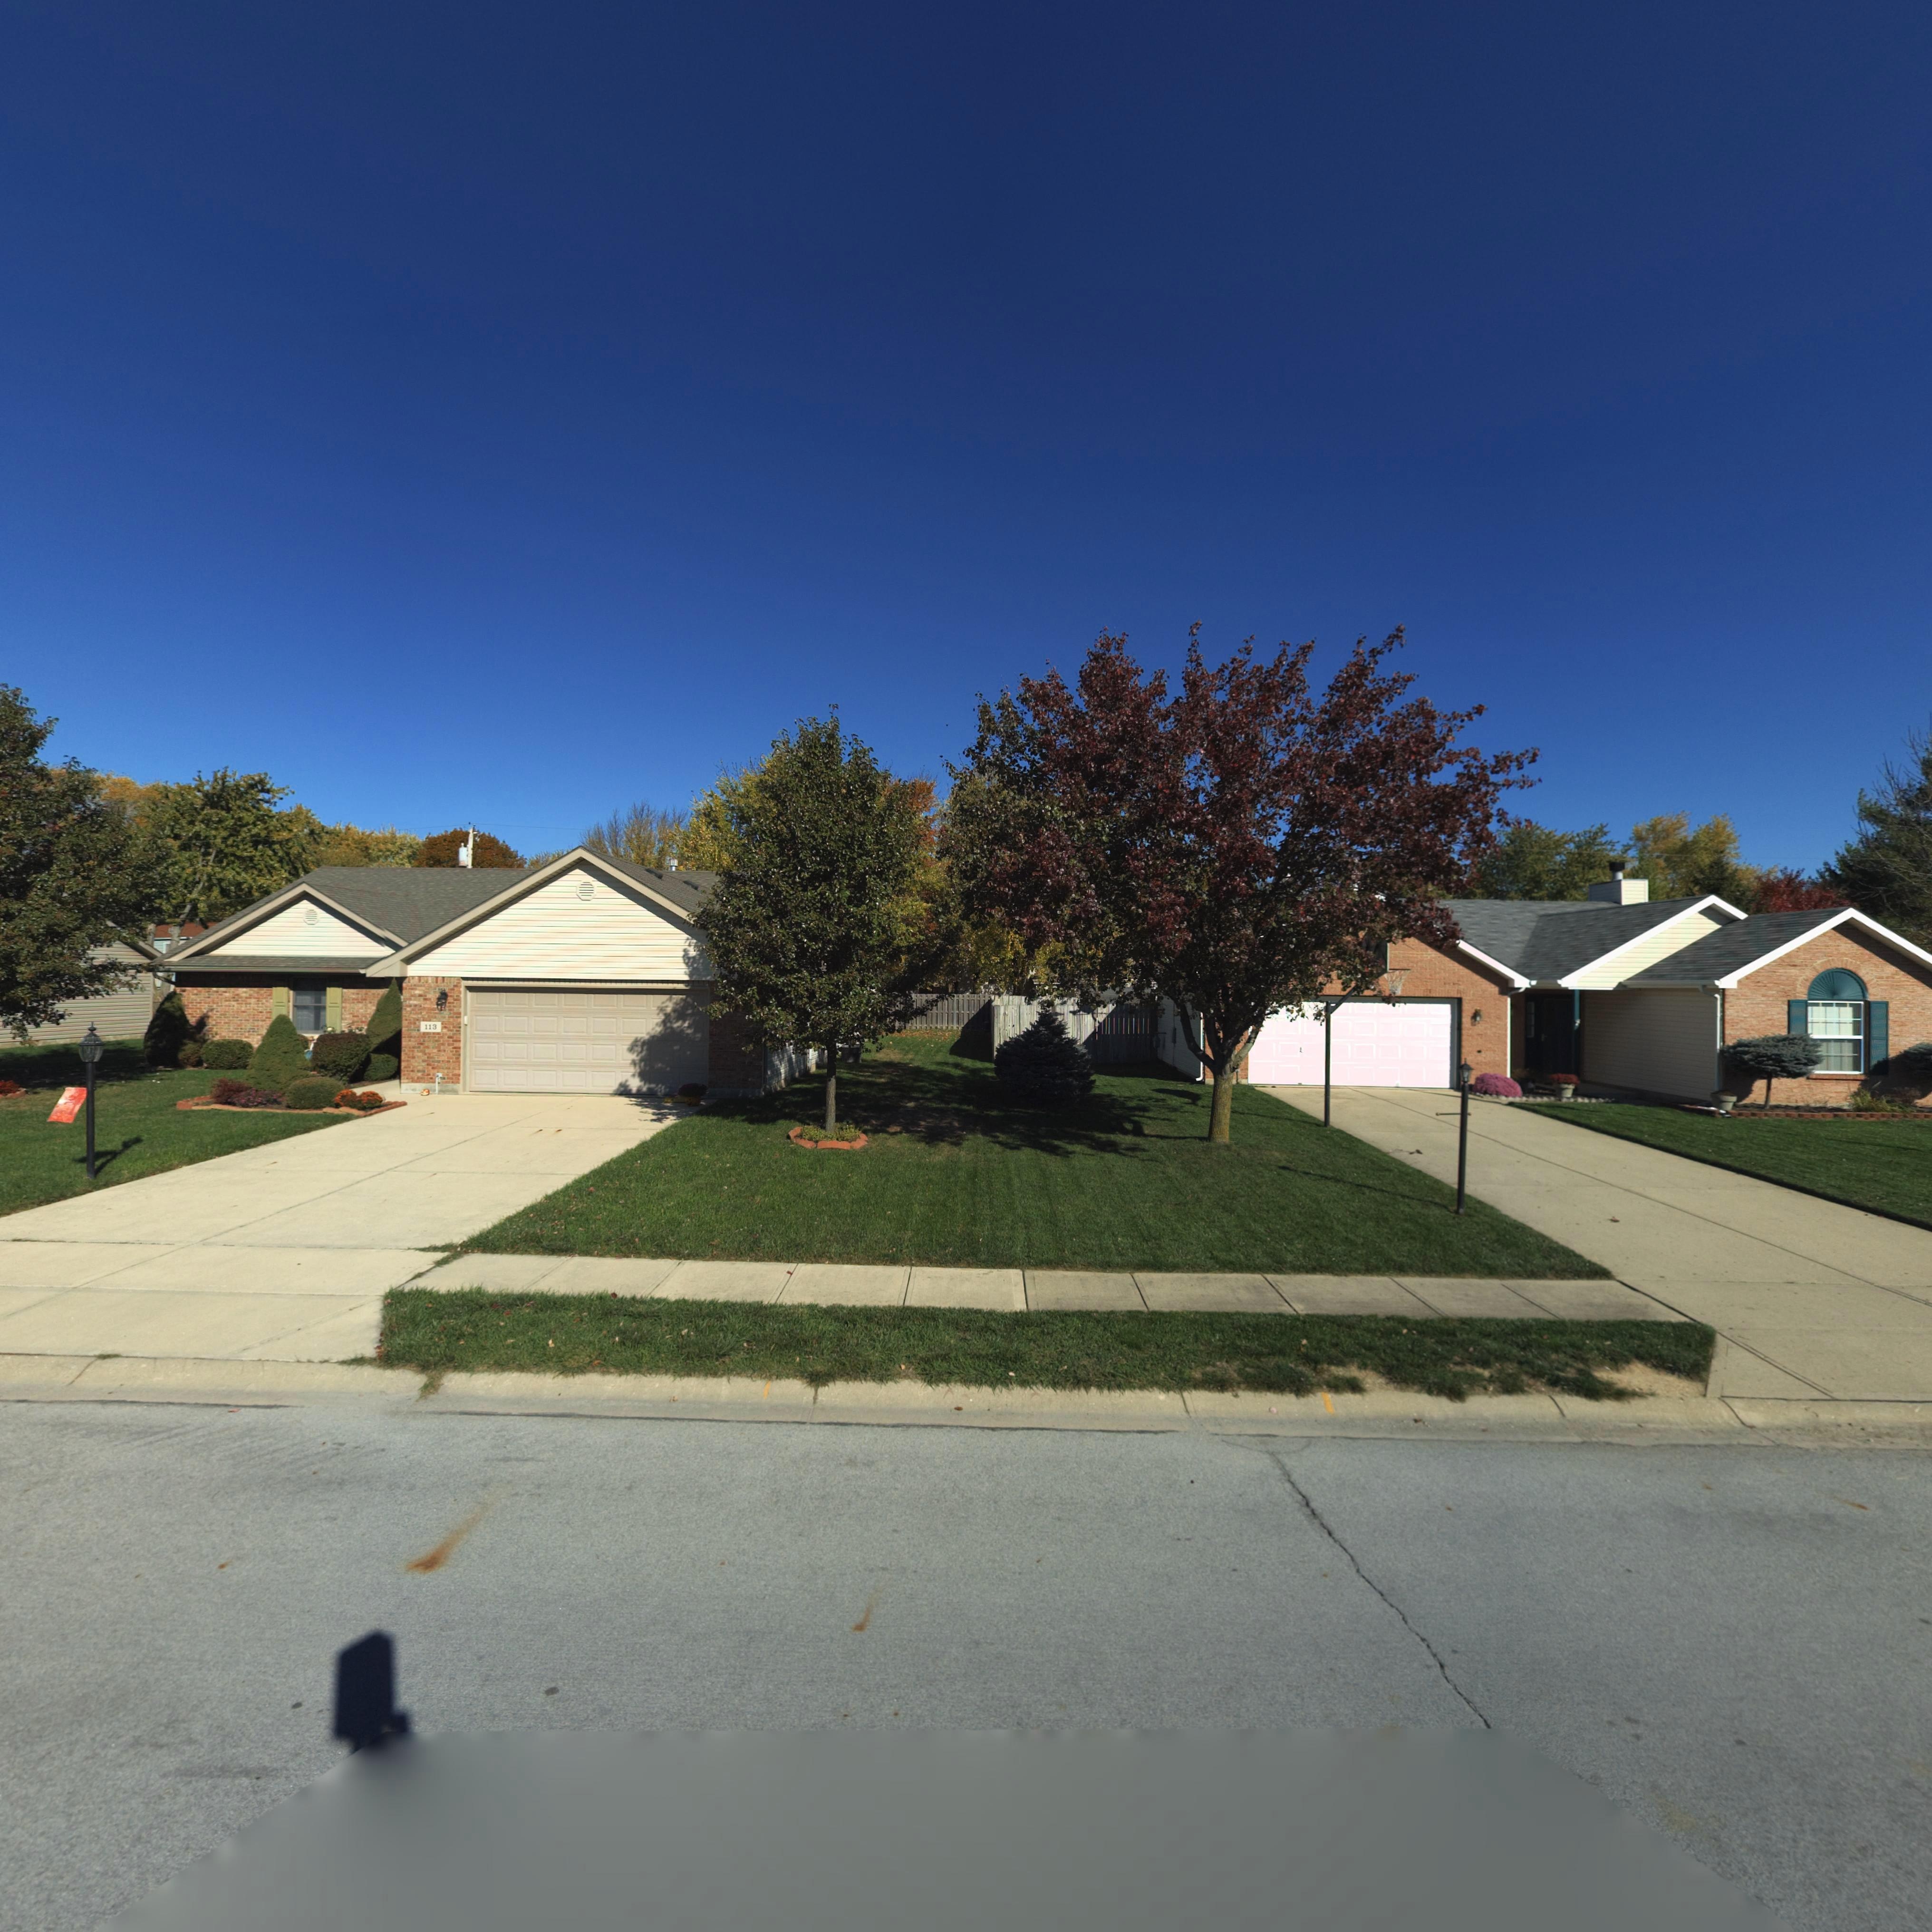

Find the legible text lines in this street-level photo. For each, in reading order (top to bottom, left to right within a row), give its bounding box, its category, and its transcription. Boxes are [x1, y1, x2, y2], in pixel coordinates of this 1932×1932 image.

[425, 1024, 437, 1030] StreetNumber: 113